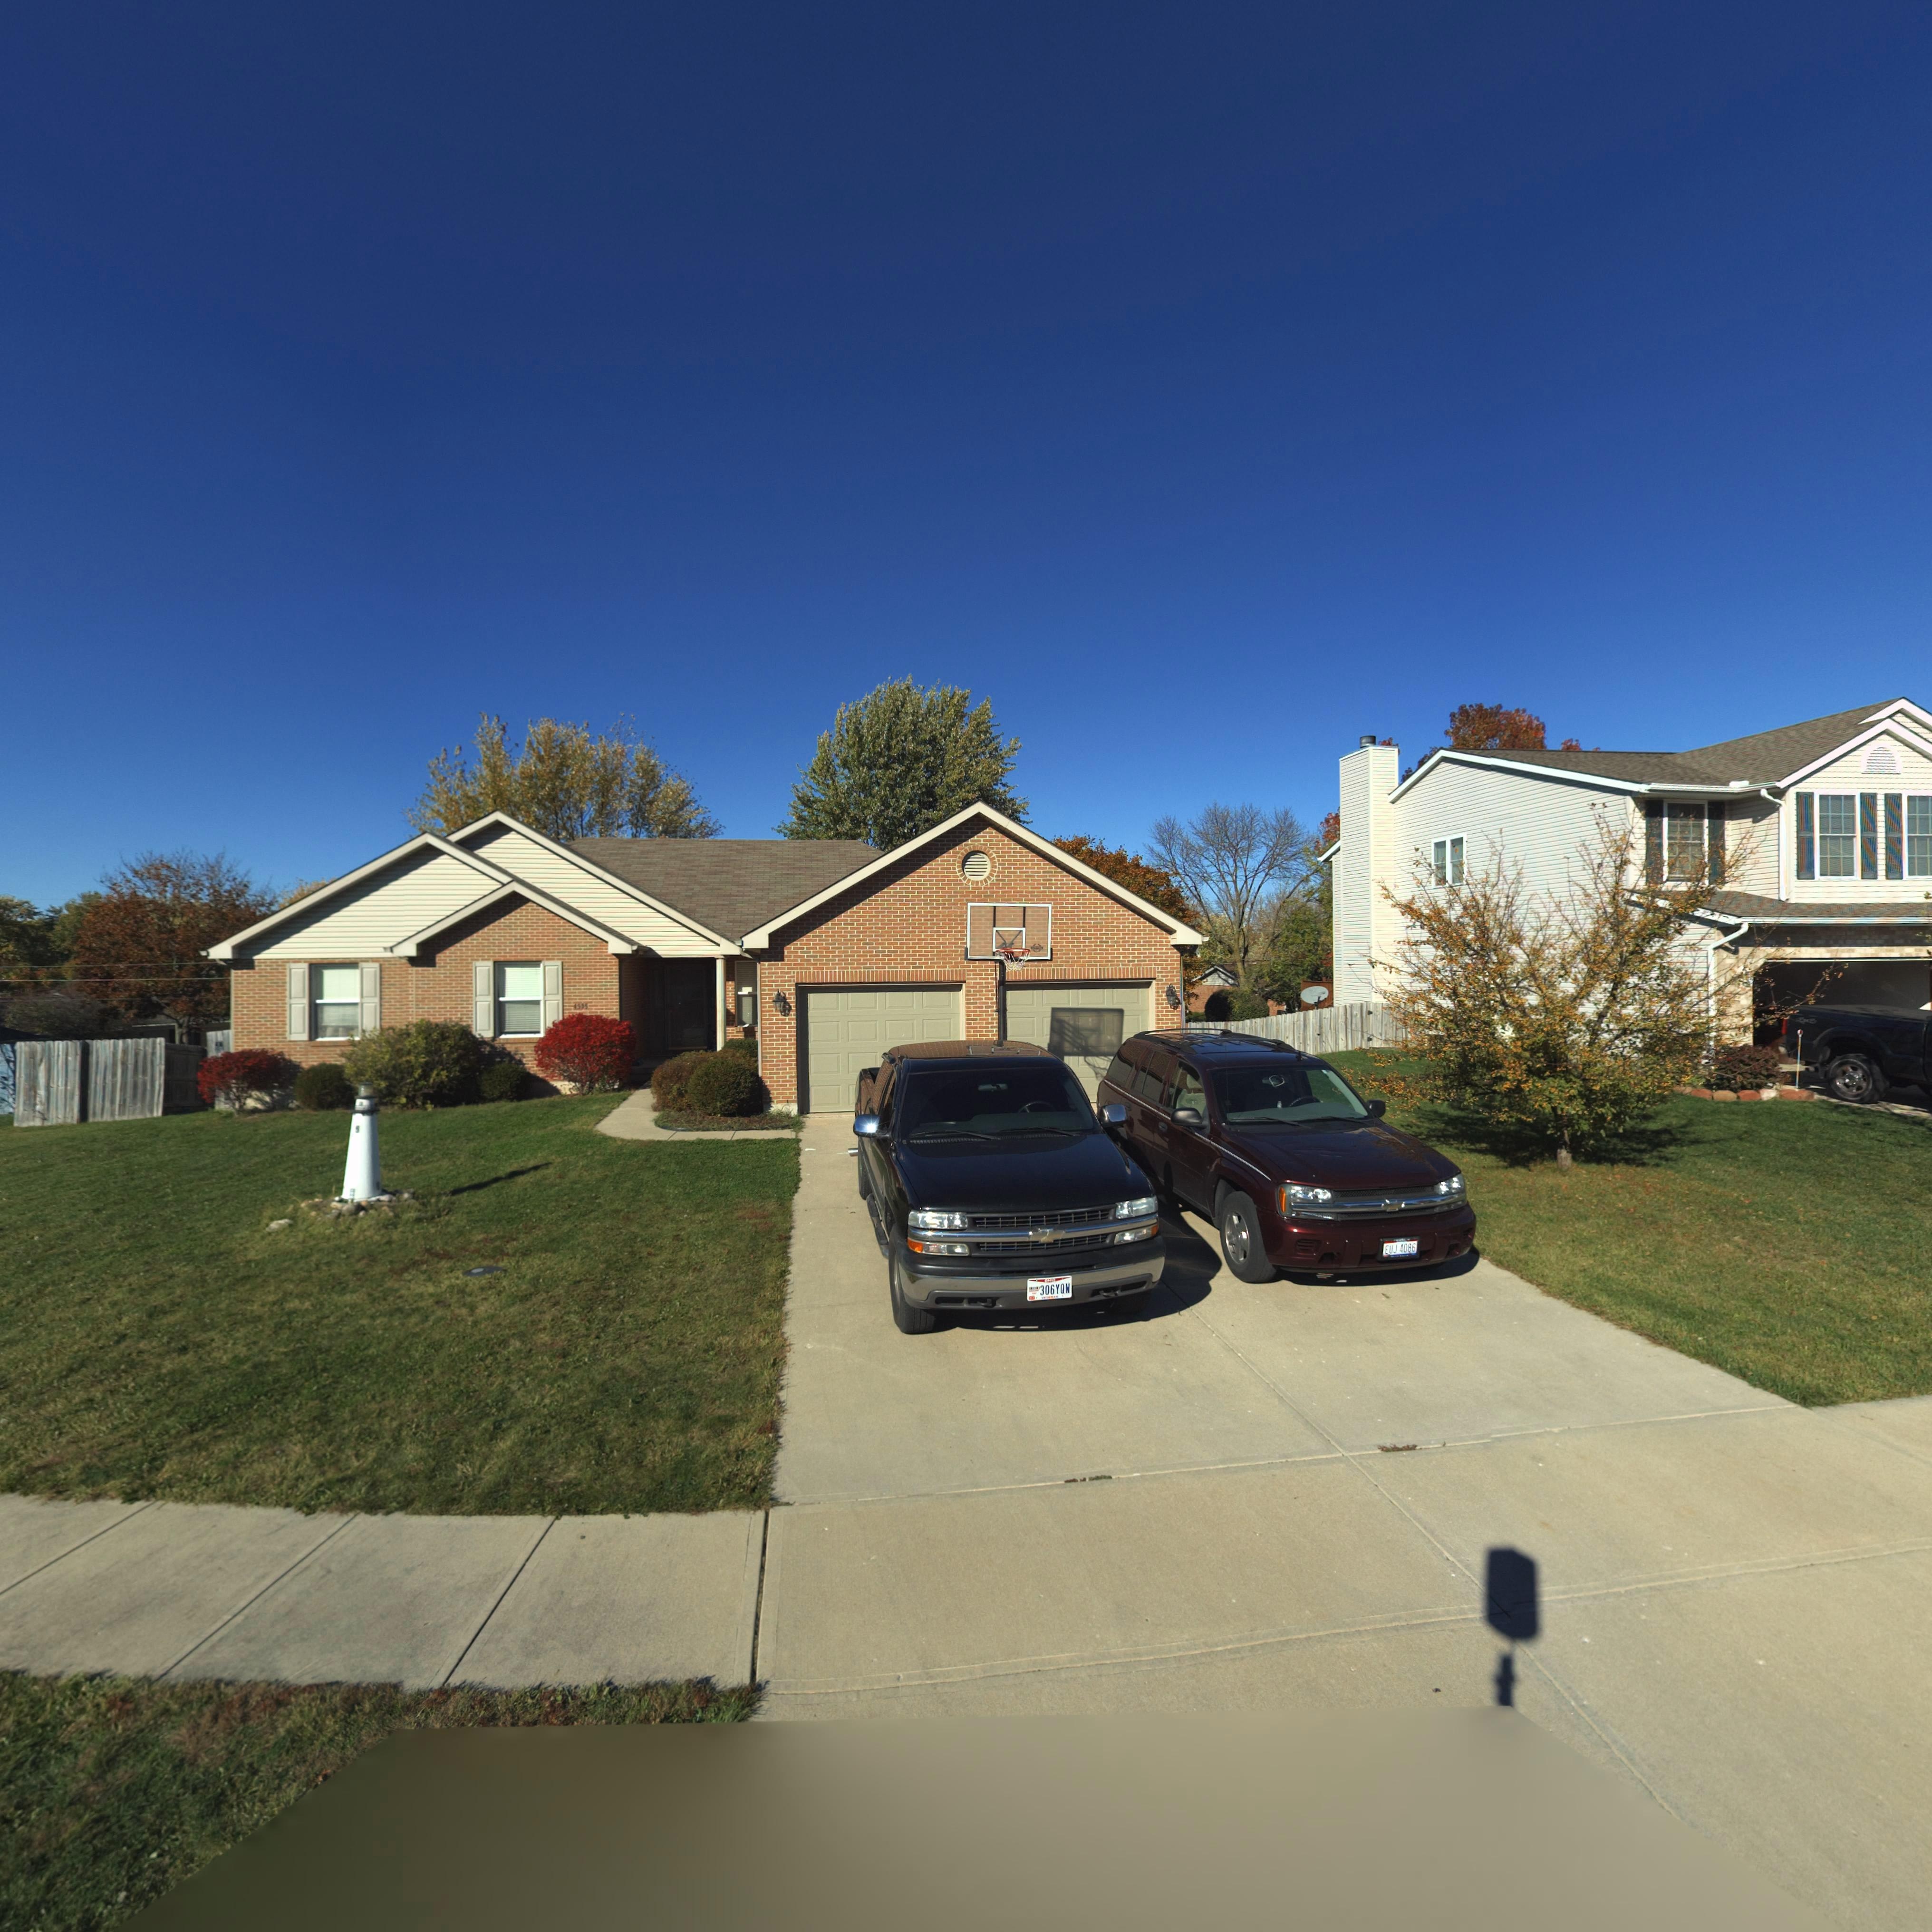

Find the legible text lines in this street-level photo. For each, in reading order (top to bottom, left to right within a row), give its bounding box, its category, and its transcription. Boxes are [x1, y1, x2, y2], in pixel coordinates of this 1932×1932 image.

[572, 1002, 589, 1010] StreetNumber: 45*5
[1384, 1242, 1417, 1255] None: EUJ*4086
[1044, 1277, 1056, 1283] None: OHIO
[1039, 1282, 1071, 1296] None: 306YQW